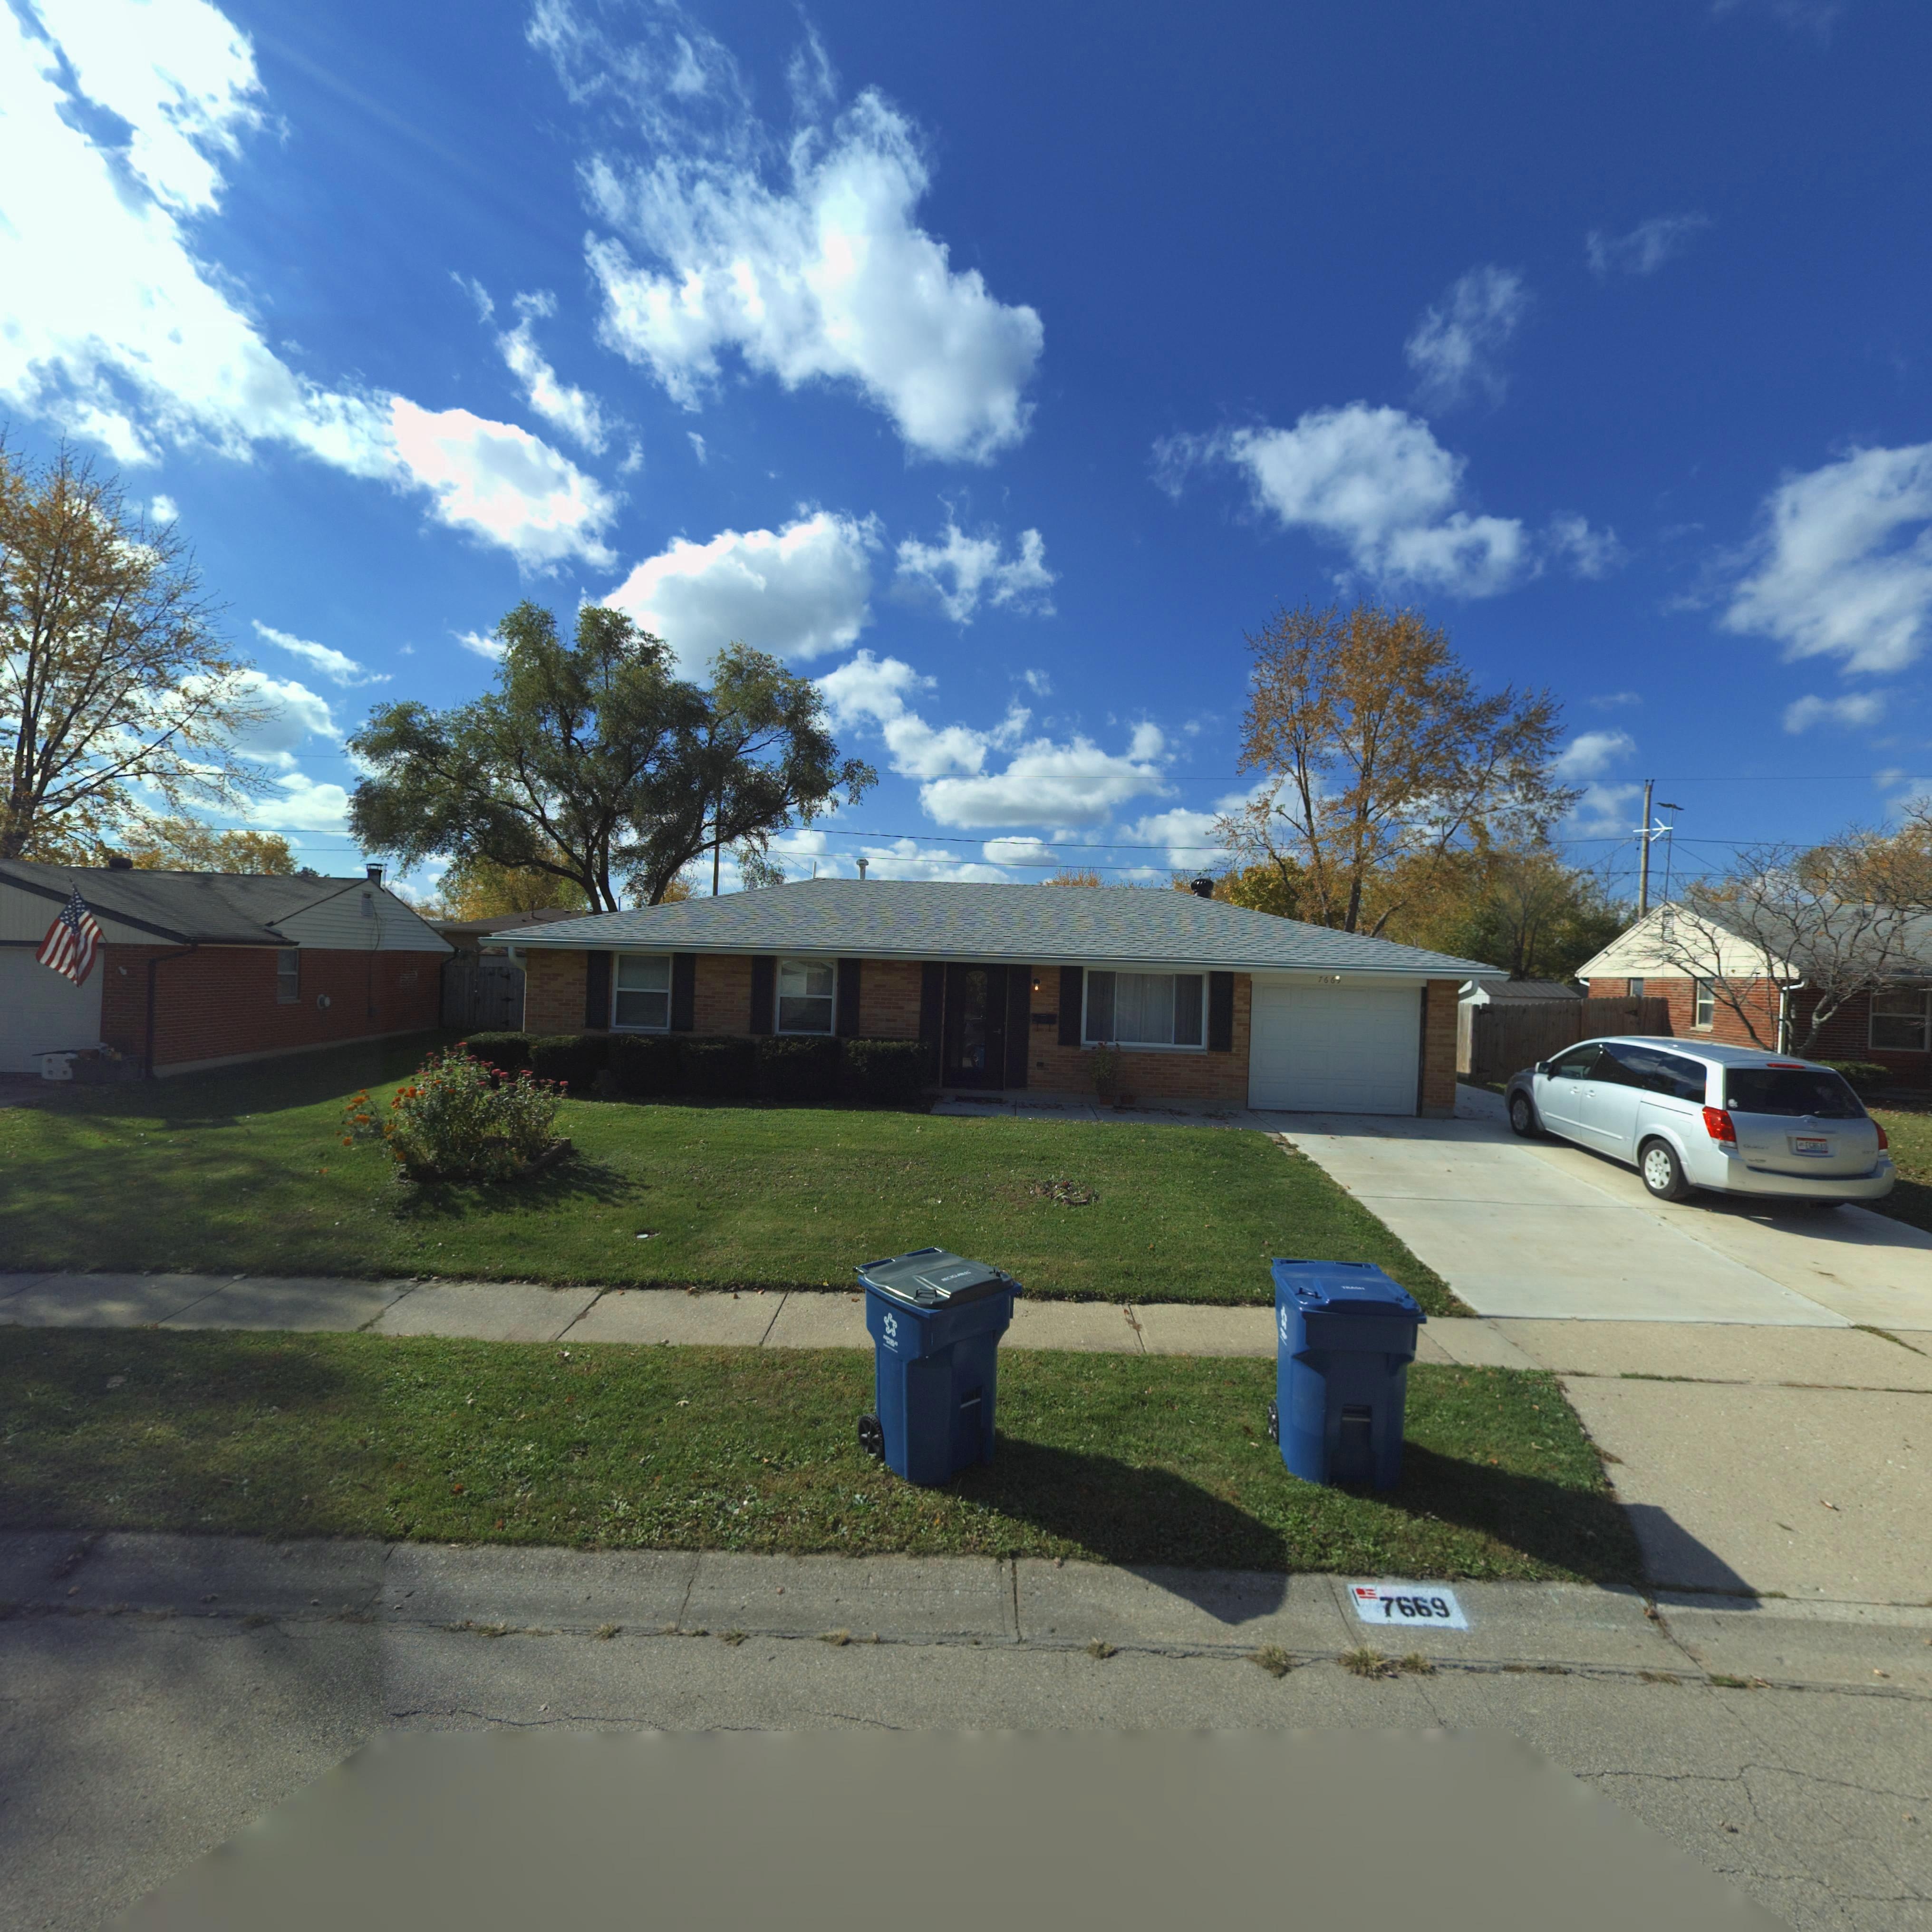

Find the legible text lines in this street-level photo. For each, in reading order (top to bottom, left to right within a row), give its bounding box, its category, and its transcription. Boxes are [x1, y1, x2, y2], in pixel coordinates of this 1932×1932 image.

[1317, 976, 1336, 985] StreetNumber: 766
[1374, 1594, 1454, 1620] StreetNumber: 7669